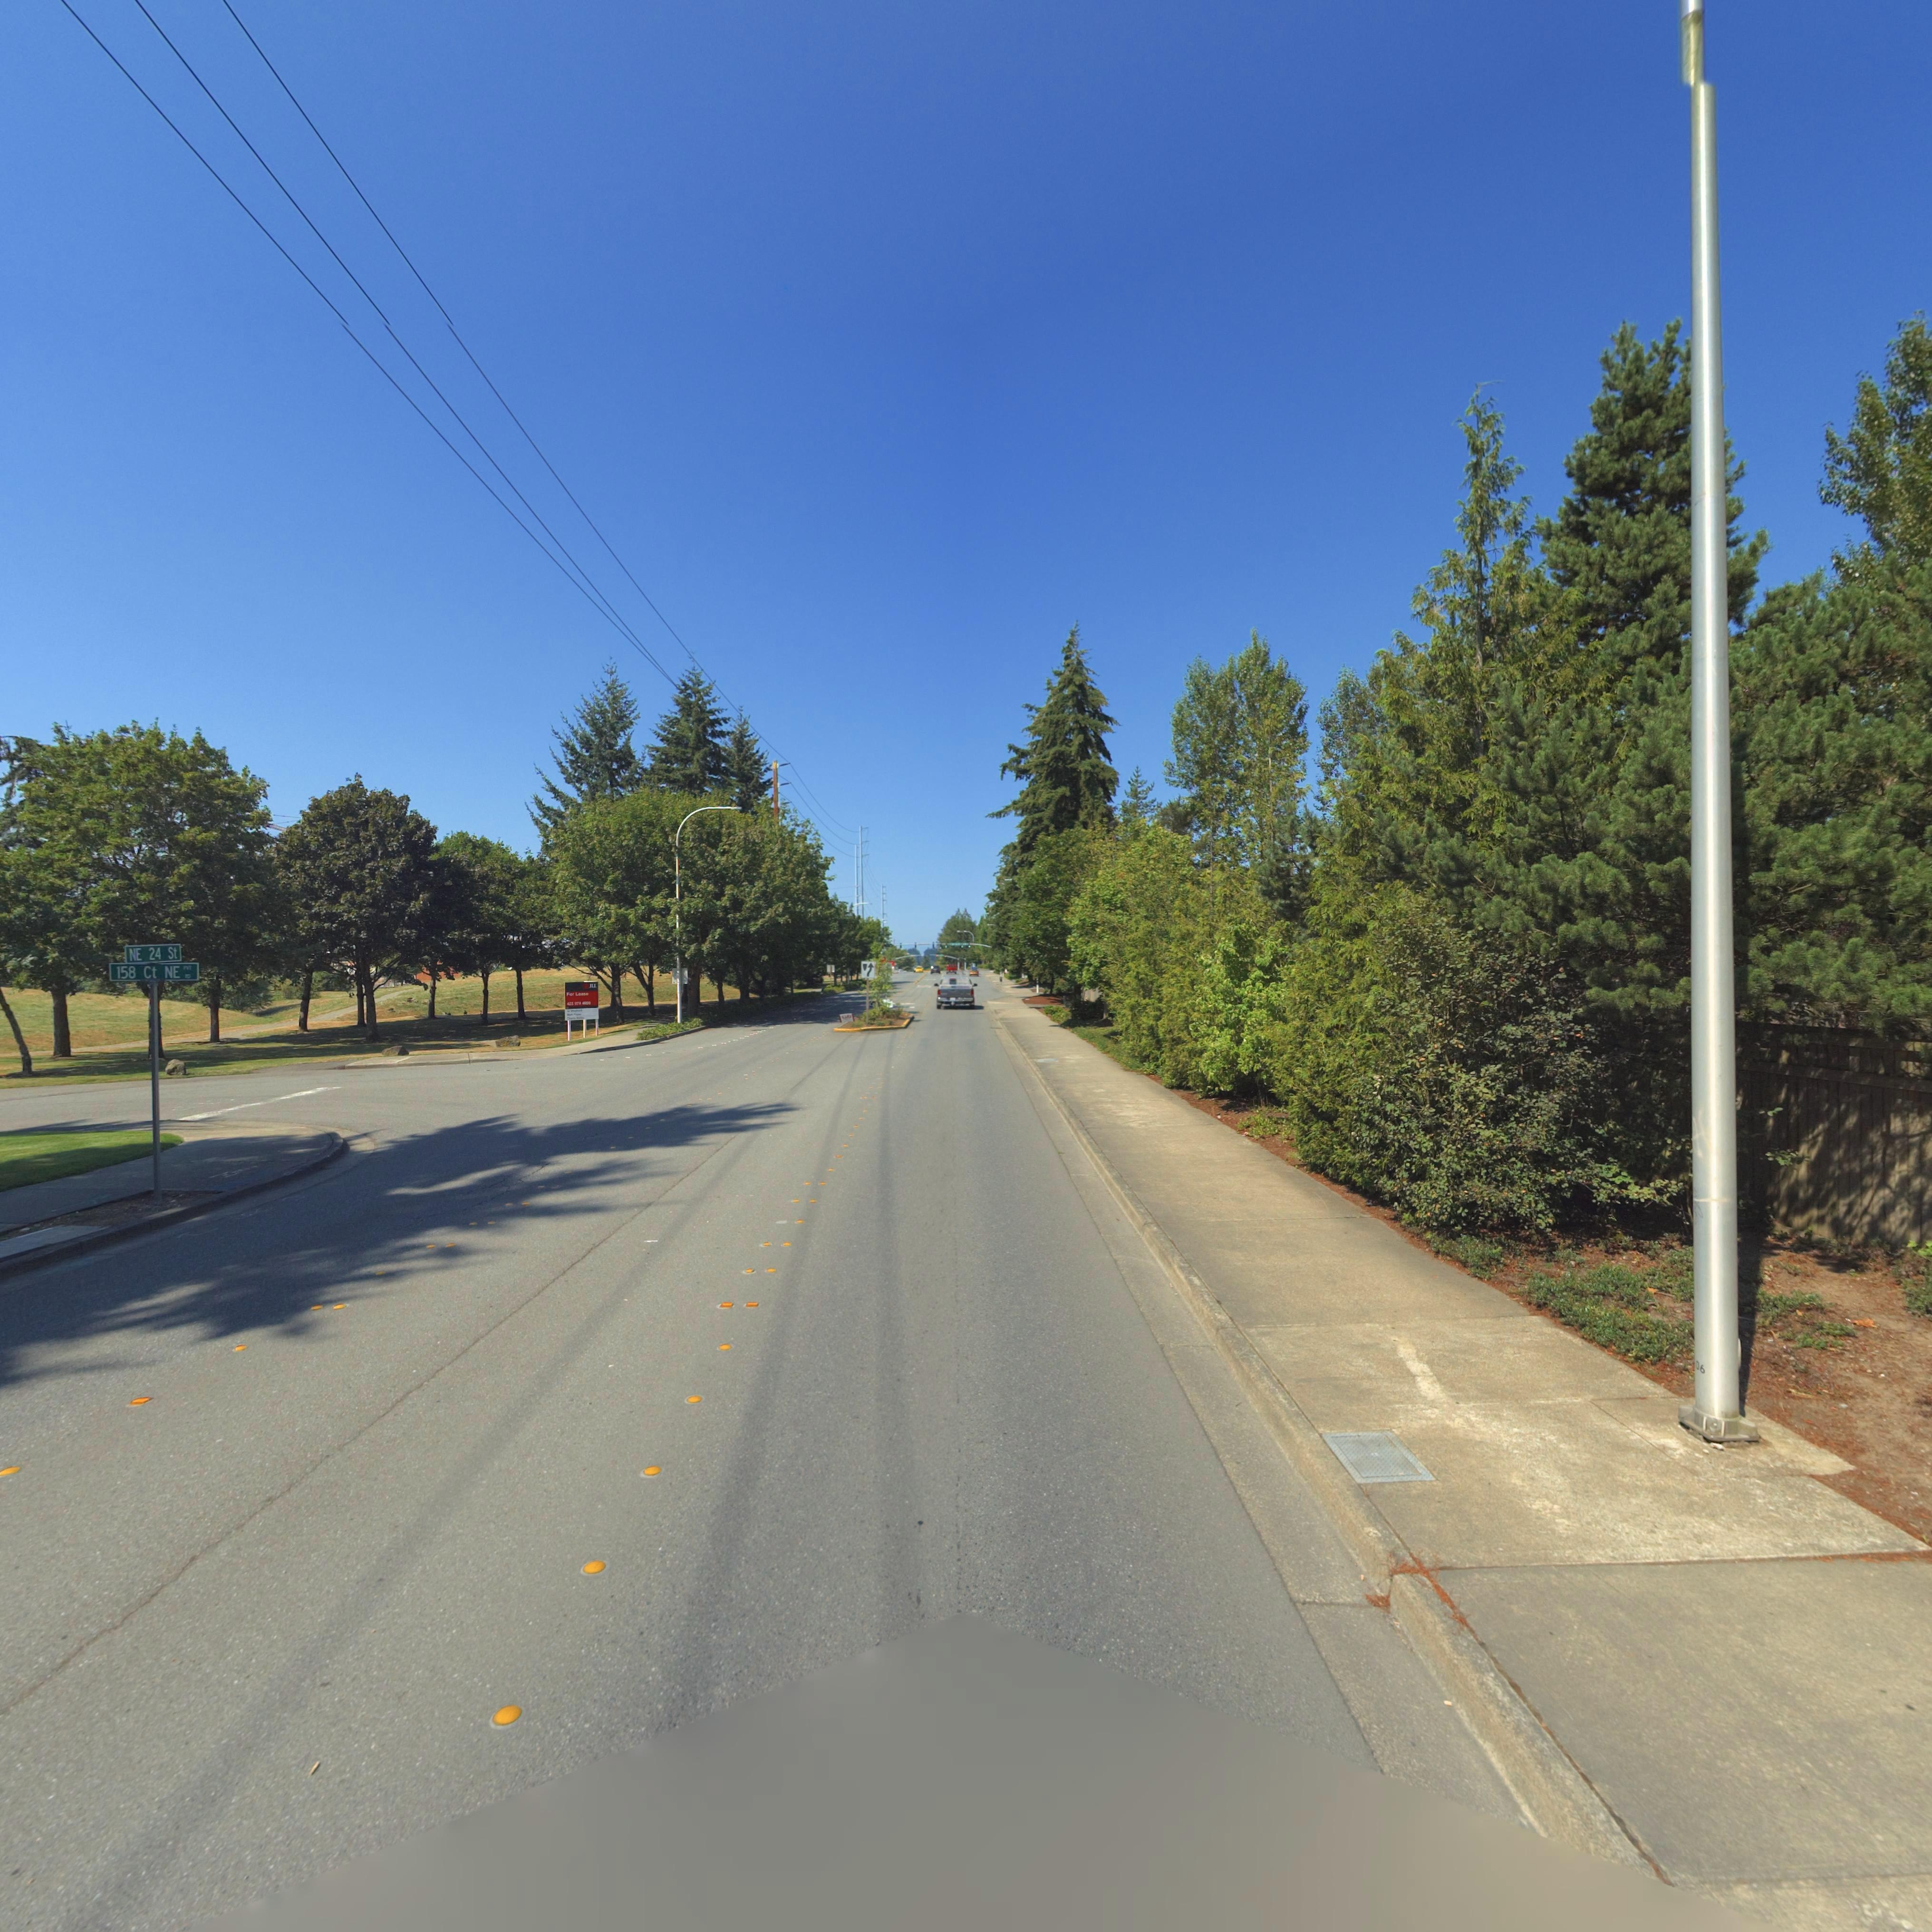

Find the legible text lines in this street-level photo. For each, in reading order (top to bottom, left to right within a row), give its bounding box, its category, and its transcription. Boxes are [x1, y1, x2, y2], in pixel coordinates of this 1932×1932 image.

[127, 947, 179, 963] StreetName: NE 24 St
[115, 965, 181, 980] StreetName: 158 Ct NE